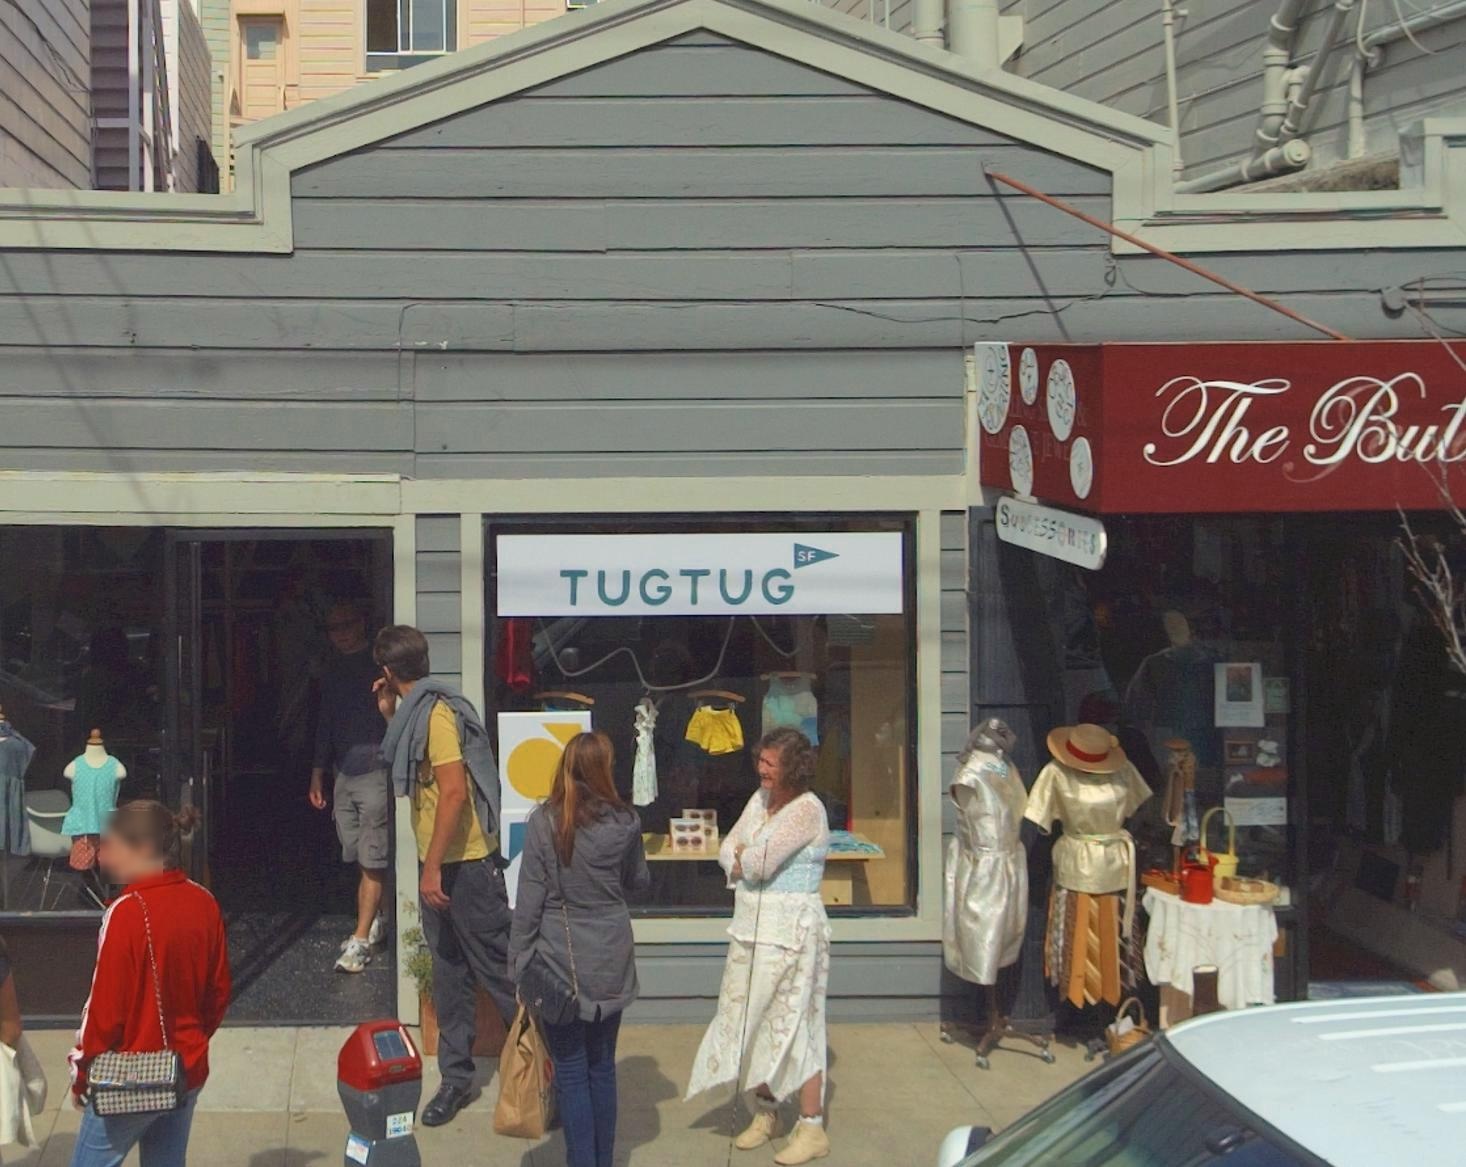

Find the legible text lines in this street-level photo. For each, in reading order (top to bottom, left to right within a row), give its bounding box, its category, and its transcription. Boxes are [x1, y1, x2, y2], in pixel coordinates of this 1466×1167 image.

[1075, 398, 1088, 431] None: &
[1139, 369, 1442, 471] BusinessName: The Bu
[1031, 429, 1054, 466] None: E JE
[998, 500, 1097, 559] None: SU**ESSORIES
[797, 549, 818, 563] None: SF
[559, 568, 797, 607] BusinessName: TUGTUG